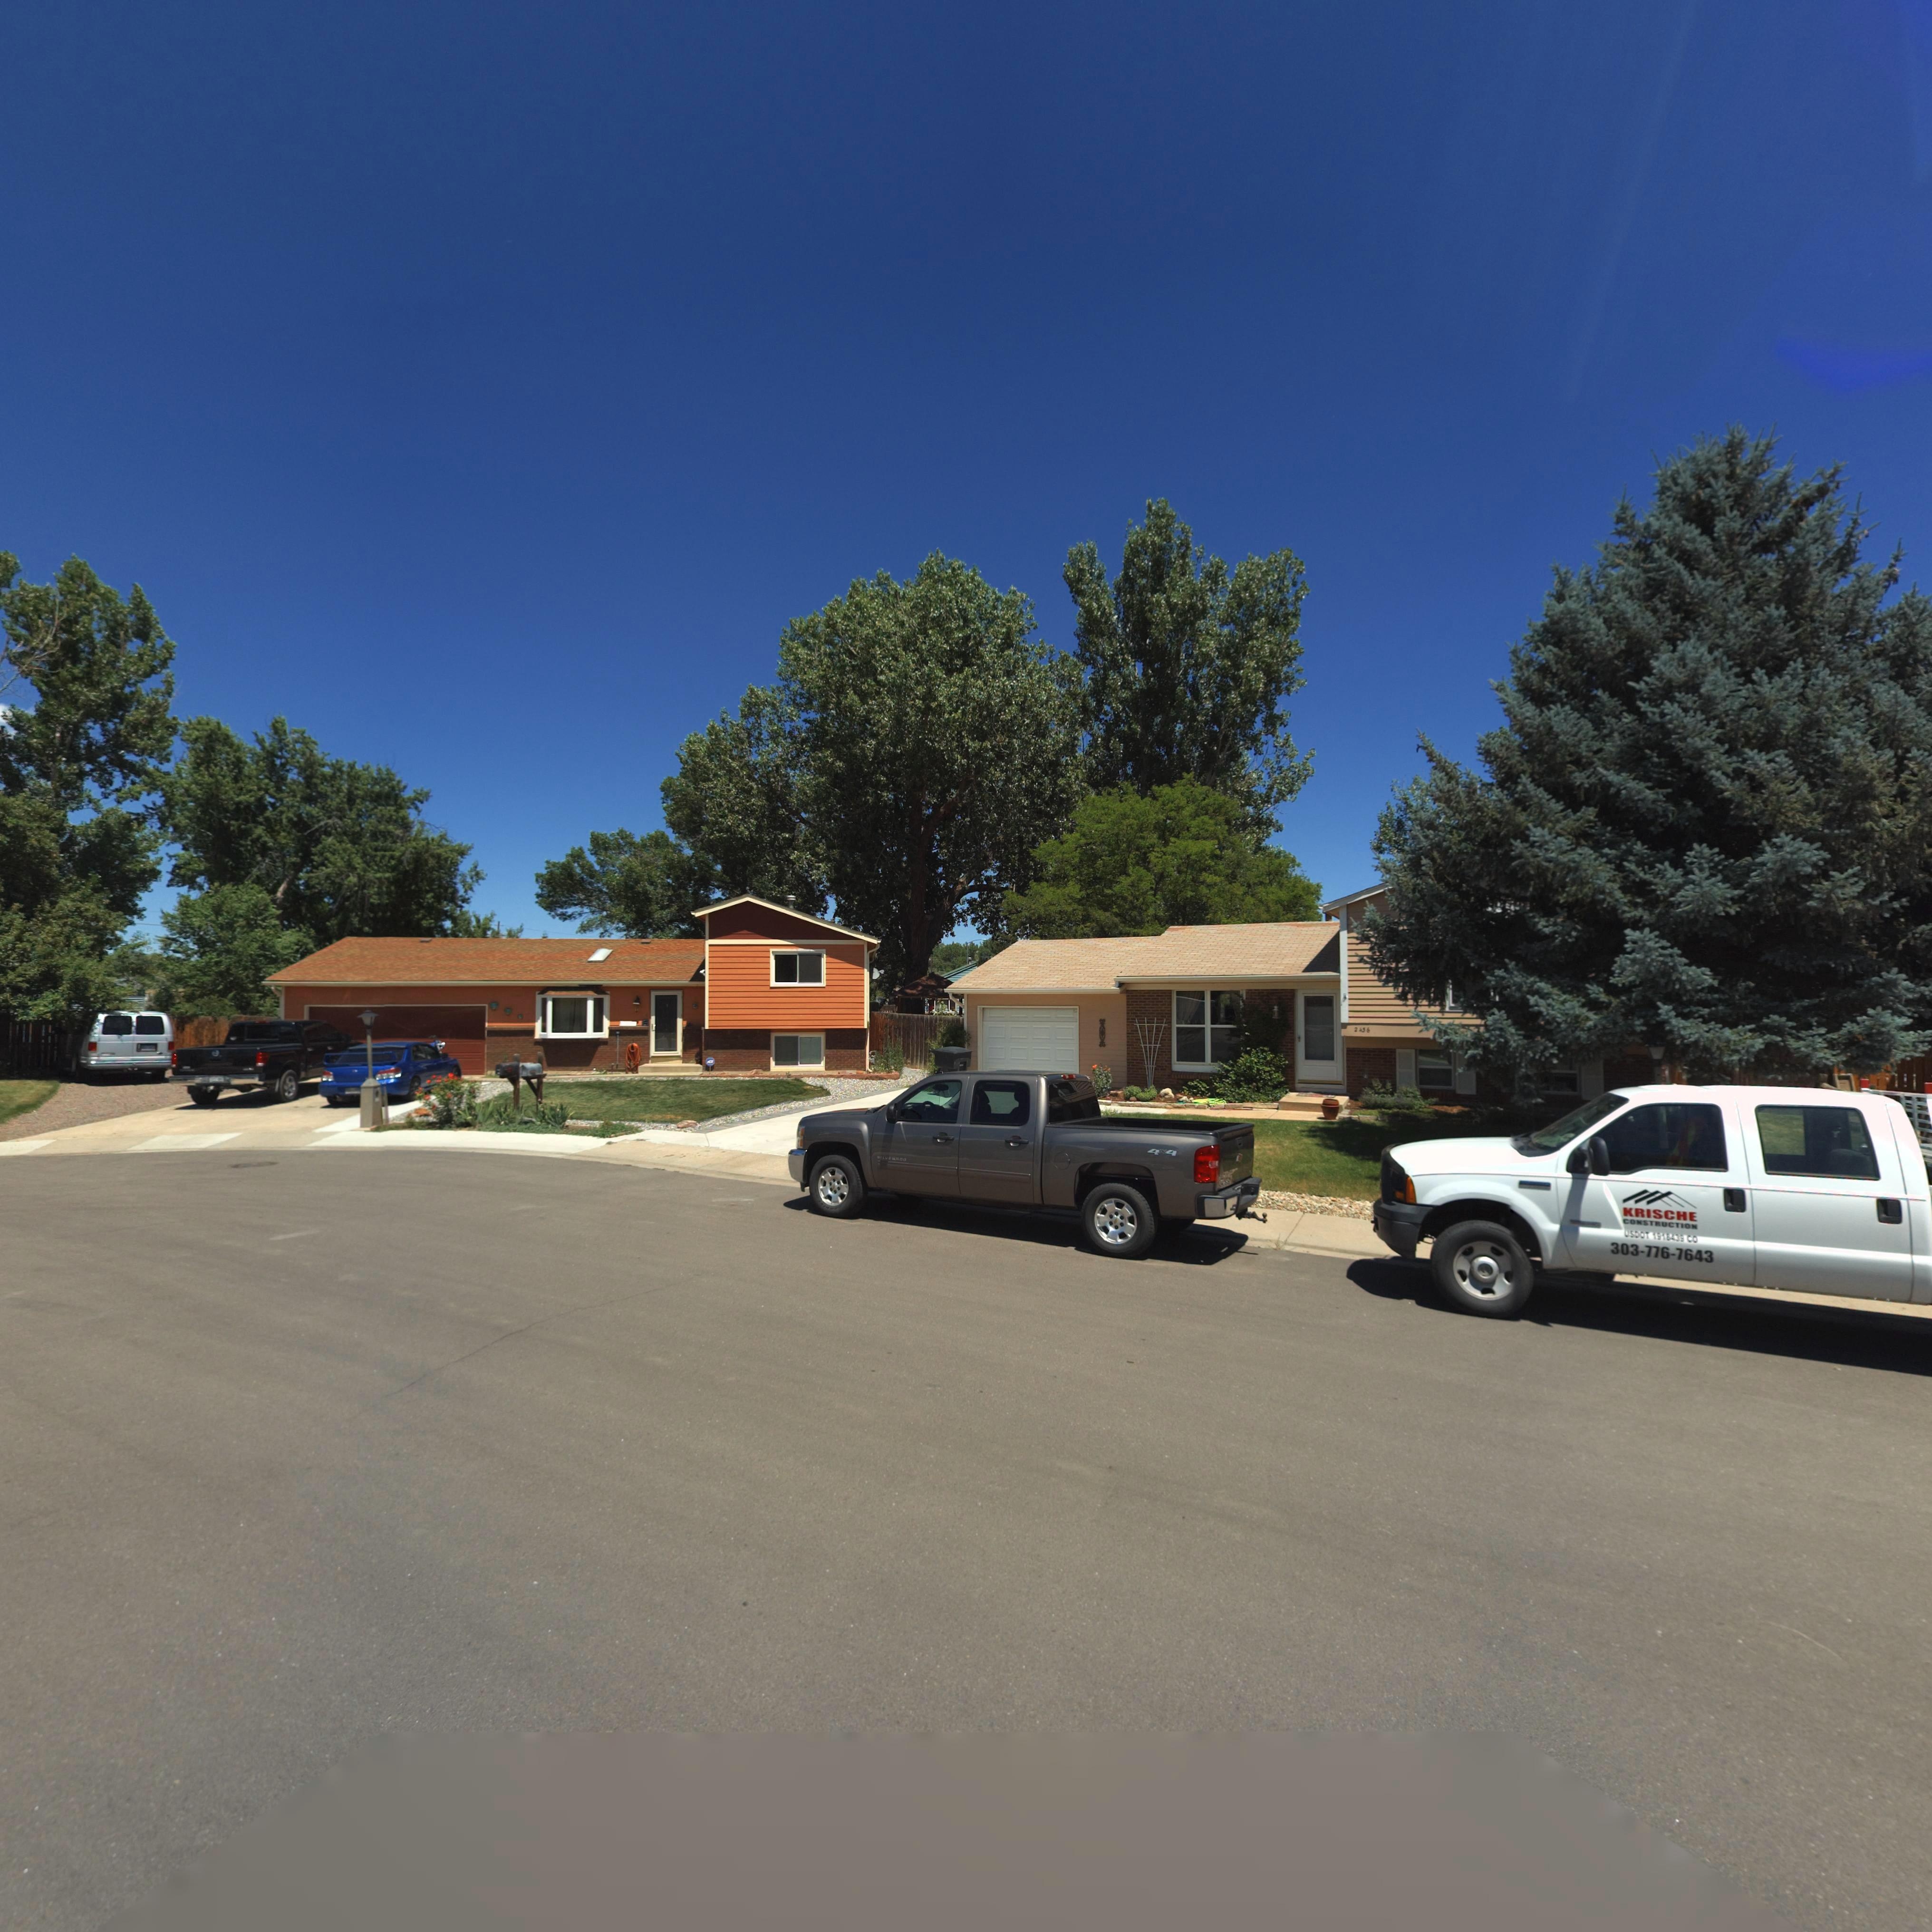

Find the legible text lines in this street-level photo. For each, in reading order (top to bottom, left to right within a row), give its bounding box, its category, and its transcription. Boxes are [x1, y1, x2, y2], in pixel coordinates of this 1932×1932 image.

[1353, 1027, 1371, 1033] StreetNumber: 2436